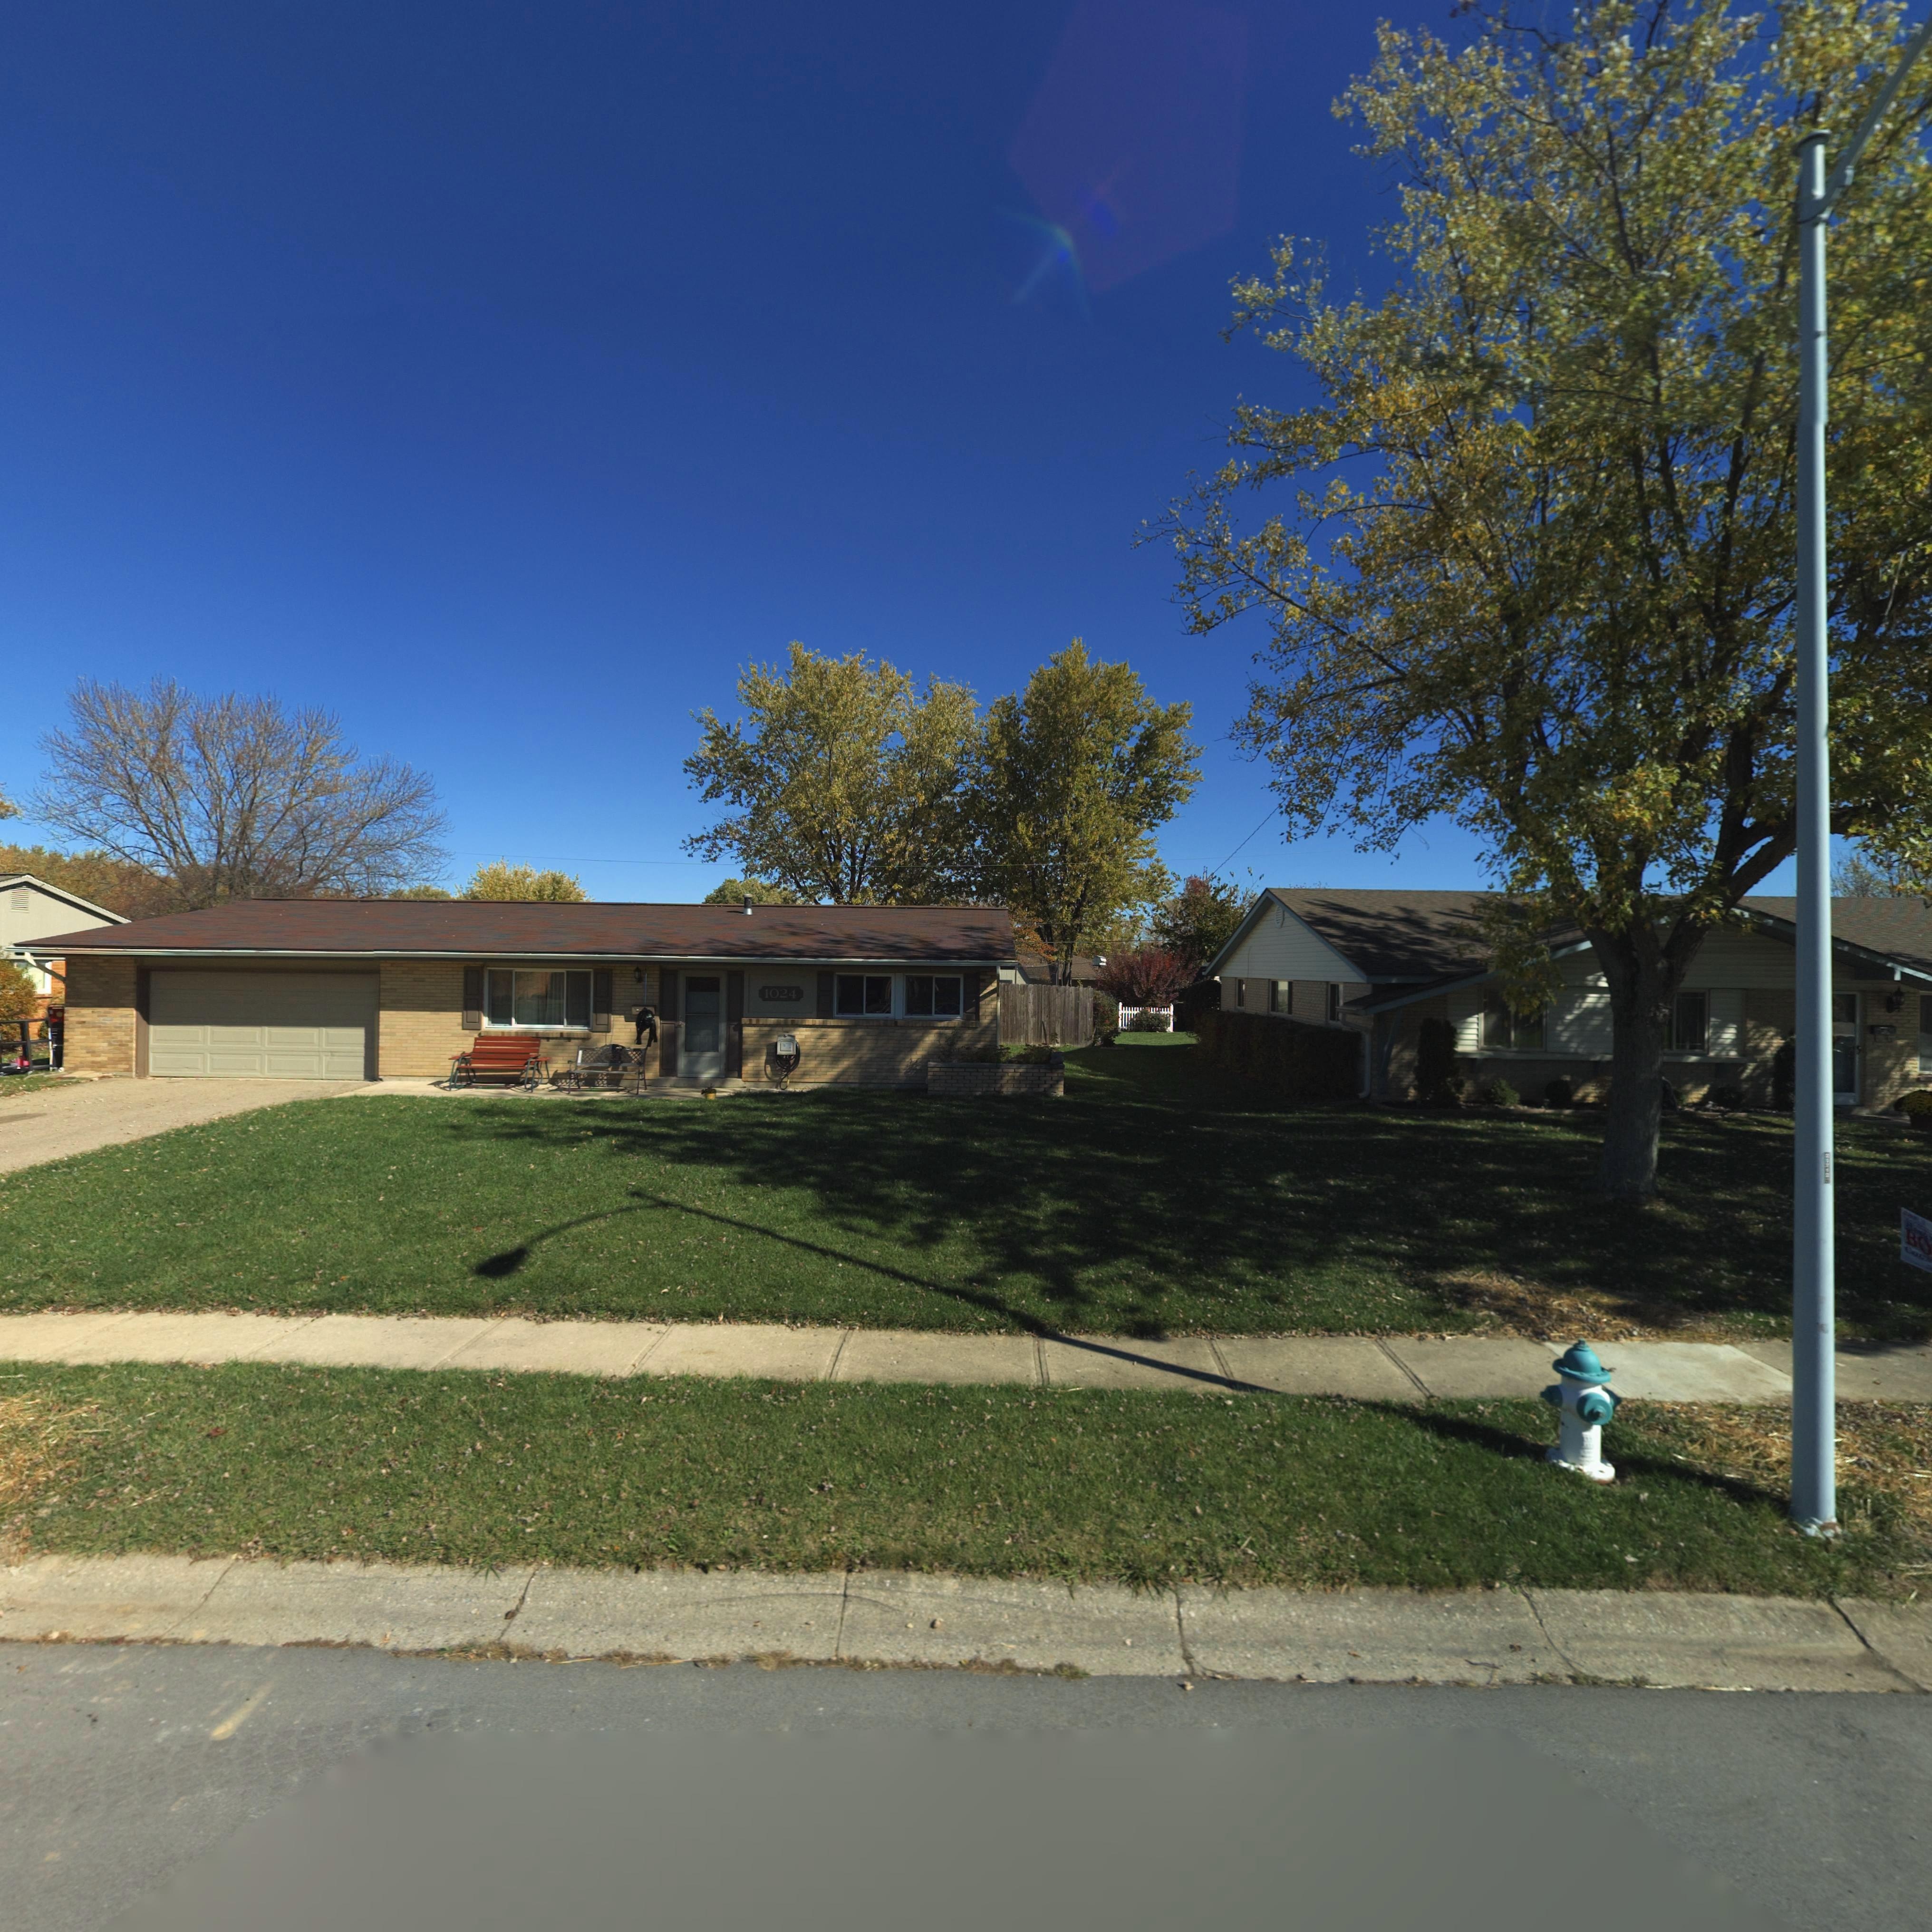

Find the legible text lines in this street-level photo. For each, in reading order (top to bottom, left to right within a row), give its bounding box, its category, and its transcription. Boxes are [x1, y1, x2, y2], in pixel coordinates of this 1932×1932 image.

[764, 987, 797, 1000] StreetNumber: 1024